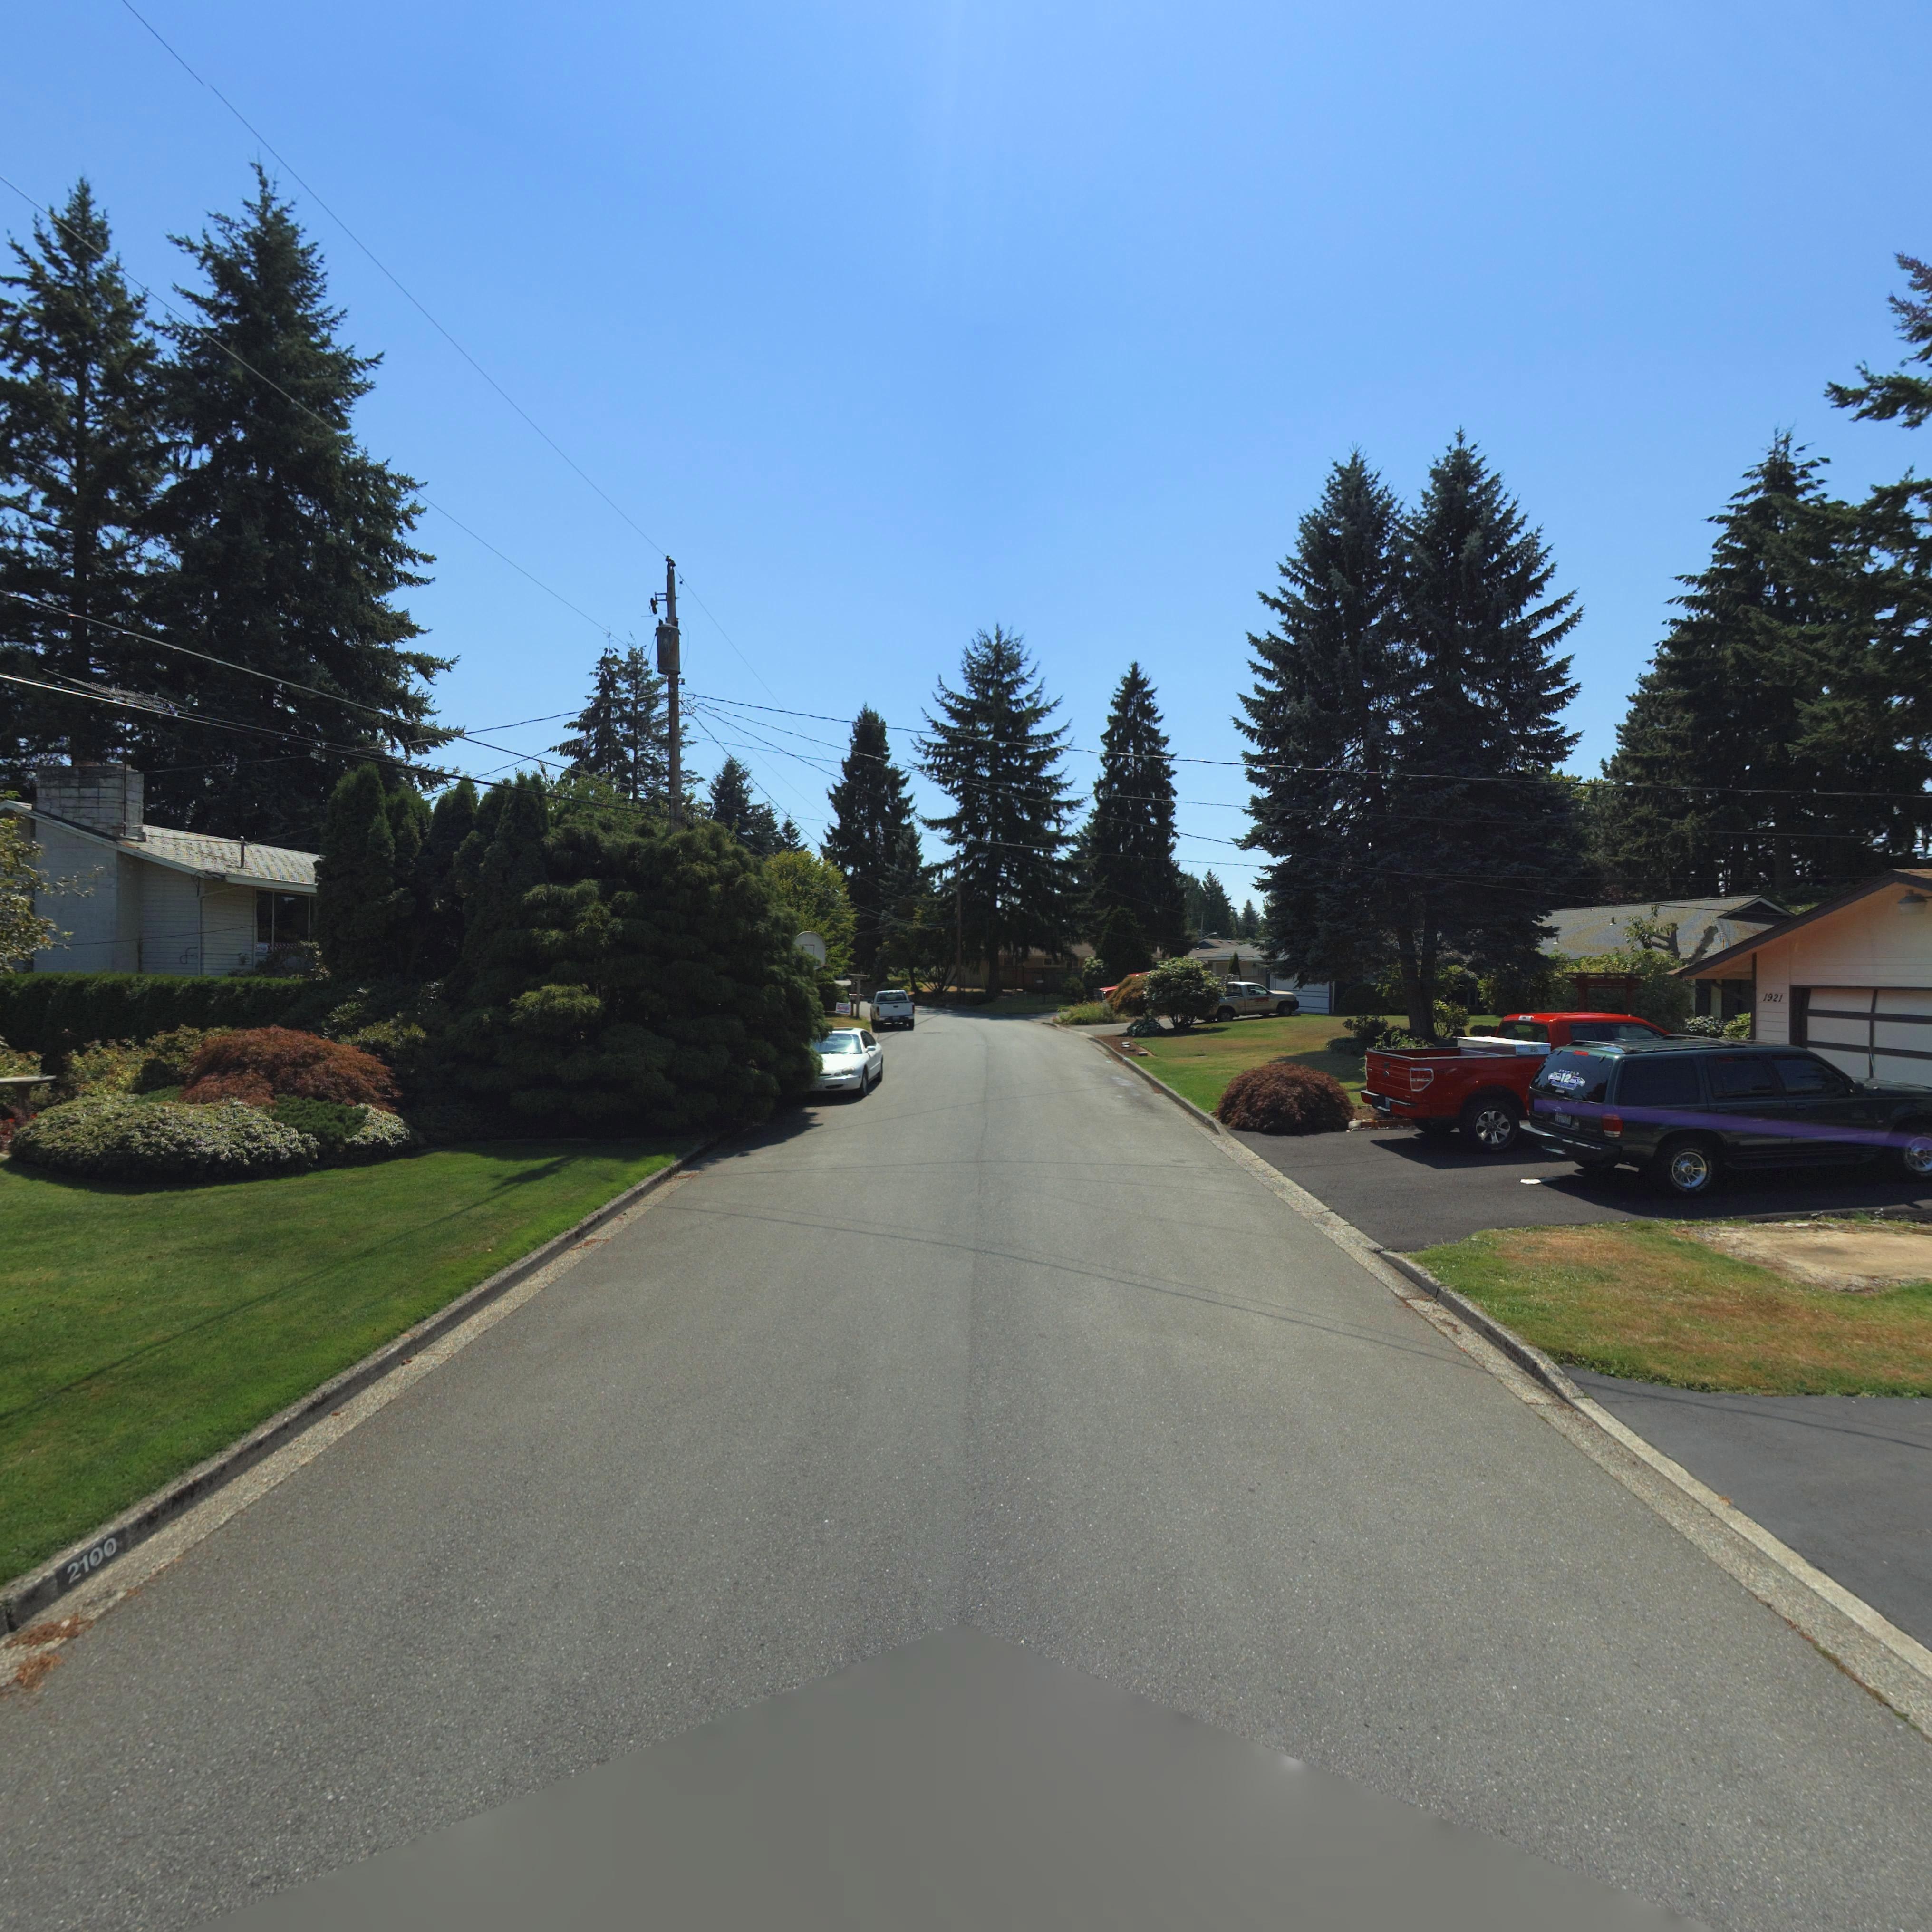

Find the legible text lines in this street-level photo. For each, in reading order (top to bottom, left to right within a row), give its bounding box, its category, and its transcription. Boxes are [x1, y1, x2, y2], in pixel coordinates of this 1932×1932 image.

[1762, 993, 1784, 1002] StreetNumber: 1921
[65, 1536, 119, 1585] StreetNumber: 2100